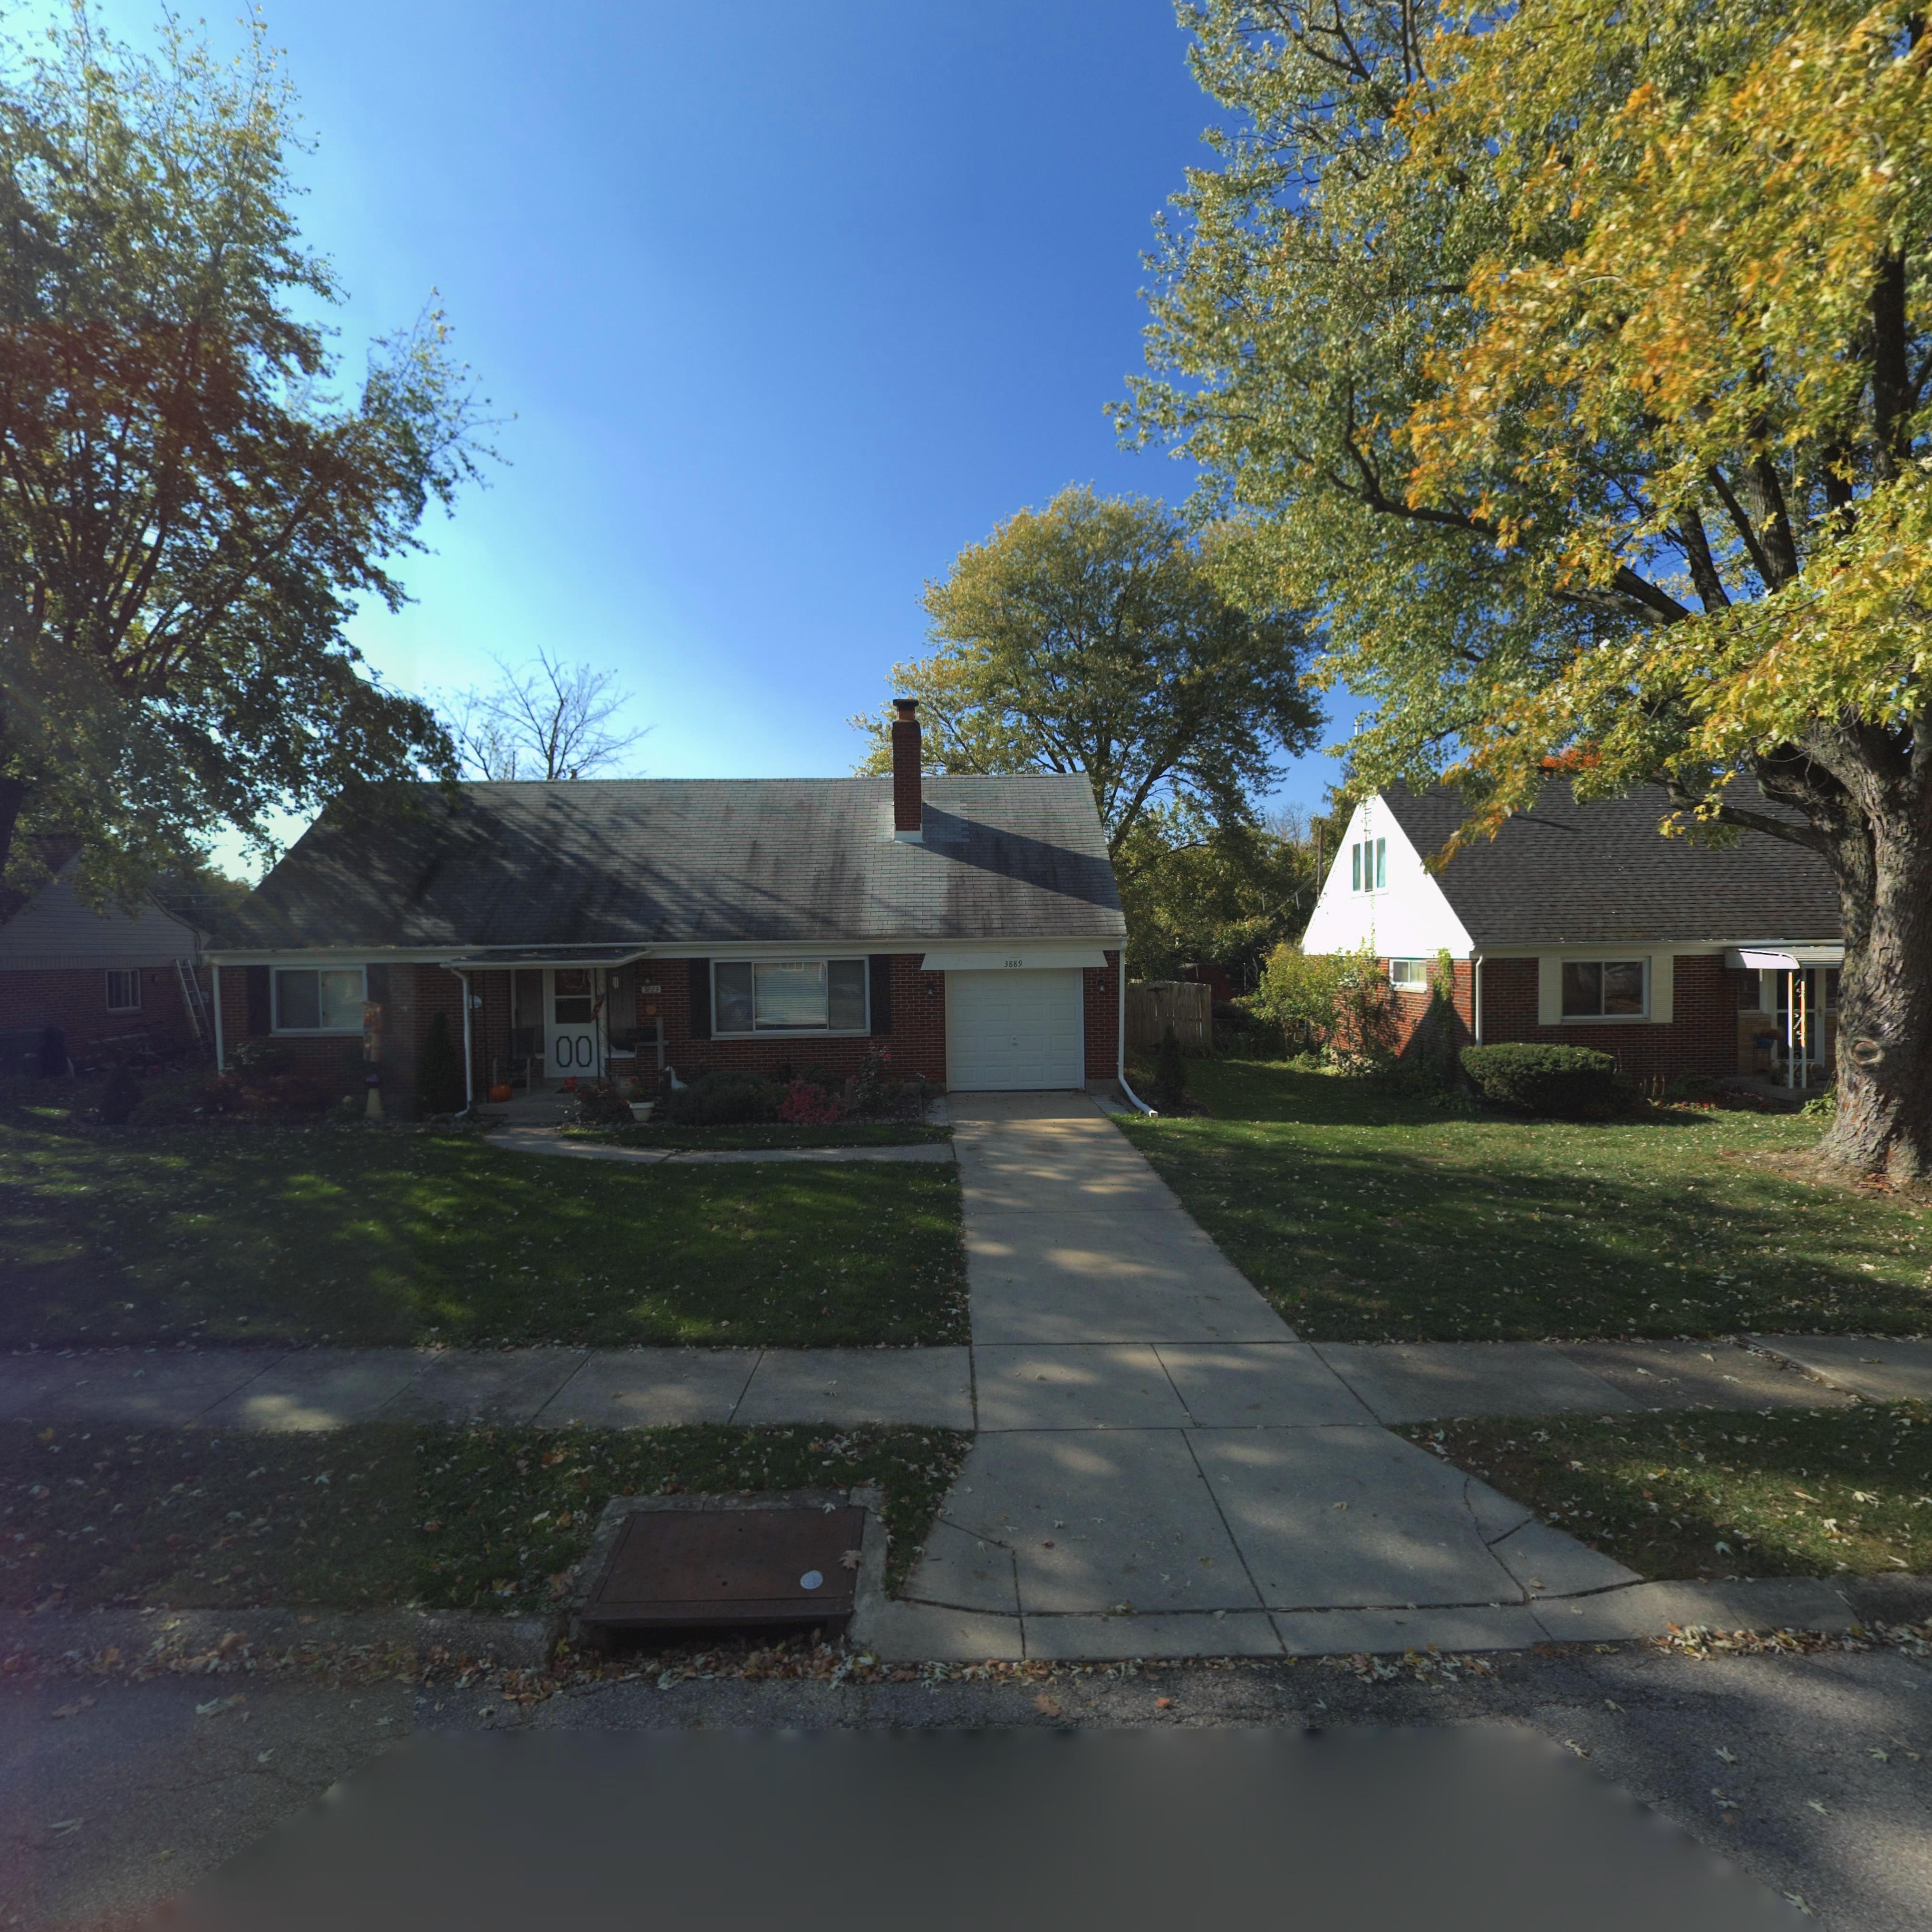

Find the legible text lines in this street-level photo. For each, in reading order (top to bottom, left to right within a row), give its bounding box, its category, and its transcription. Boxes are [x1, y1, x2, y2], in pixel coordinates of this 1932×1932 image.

[1004, 960, 1023, 967] StreetNumber: 3889
[643, 986, 660, 993] StreetNumber: 3889